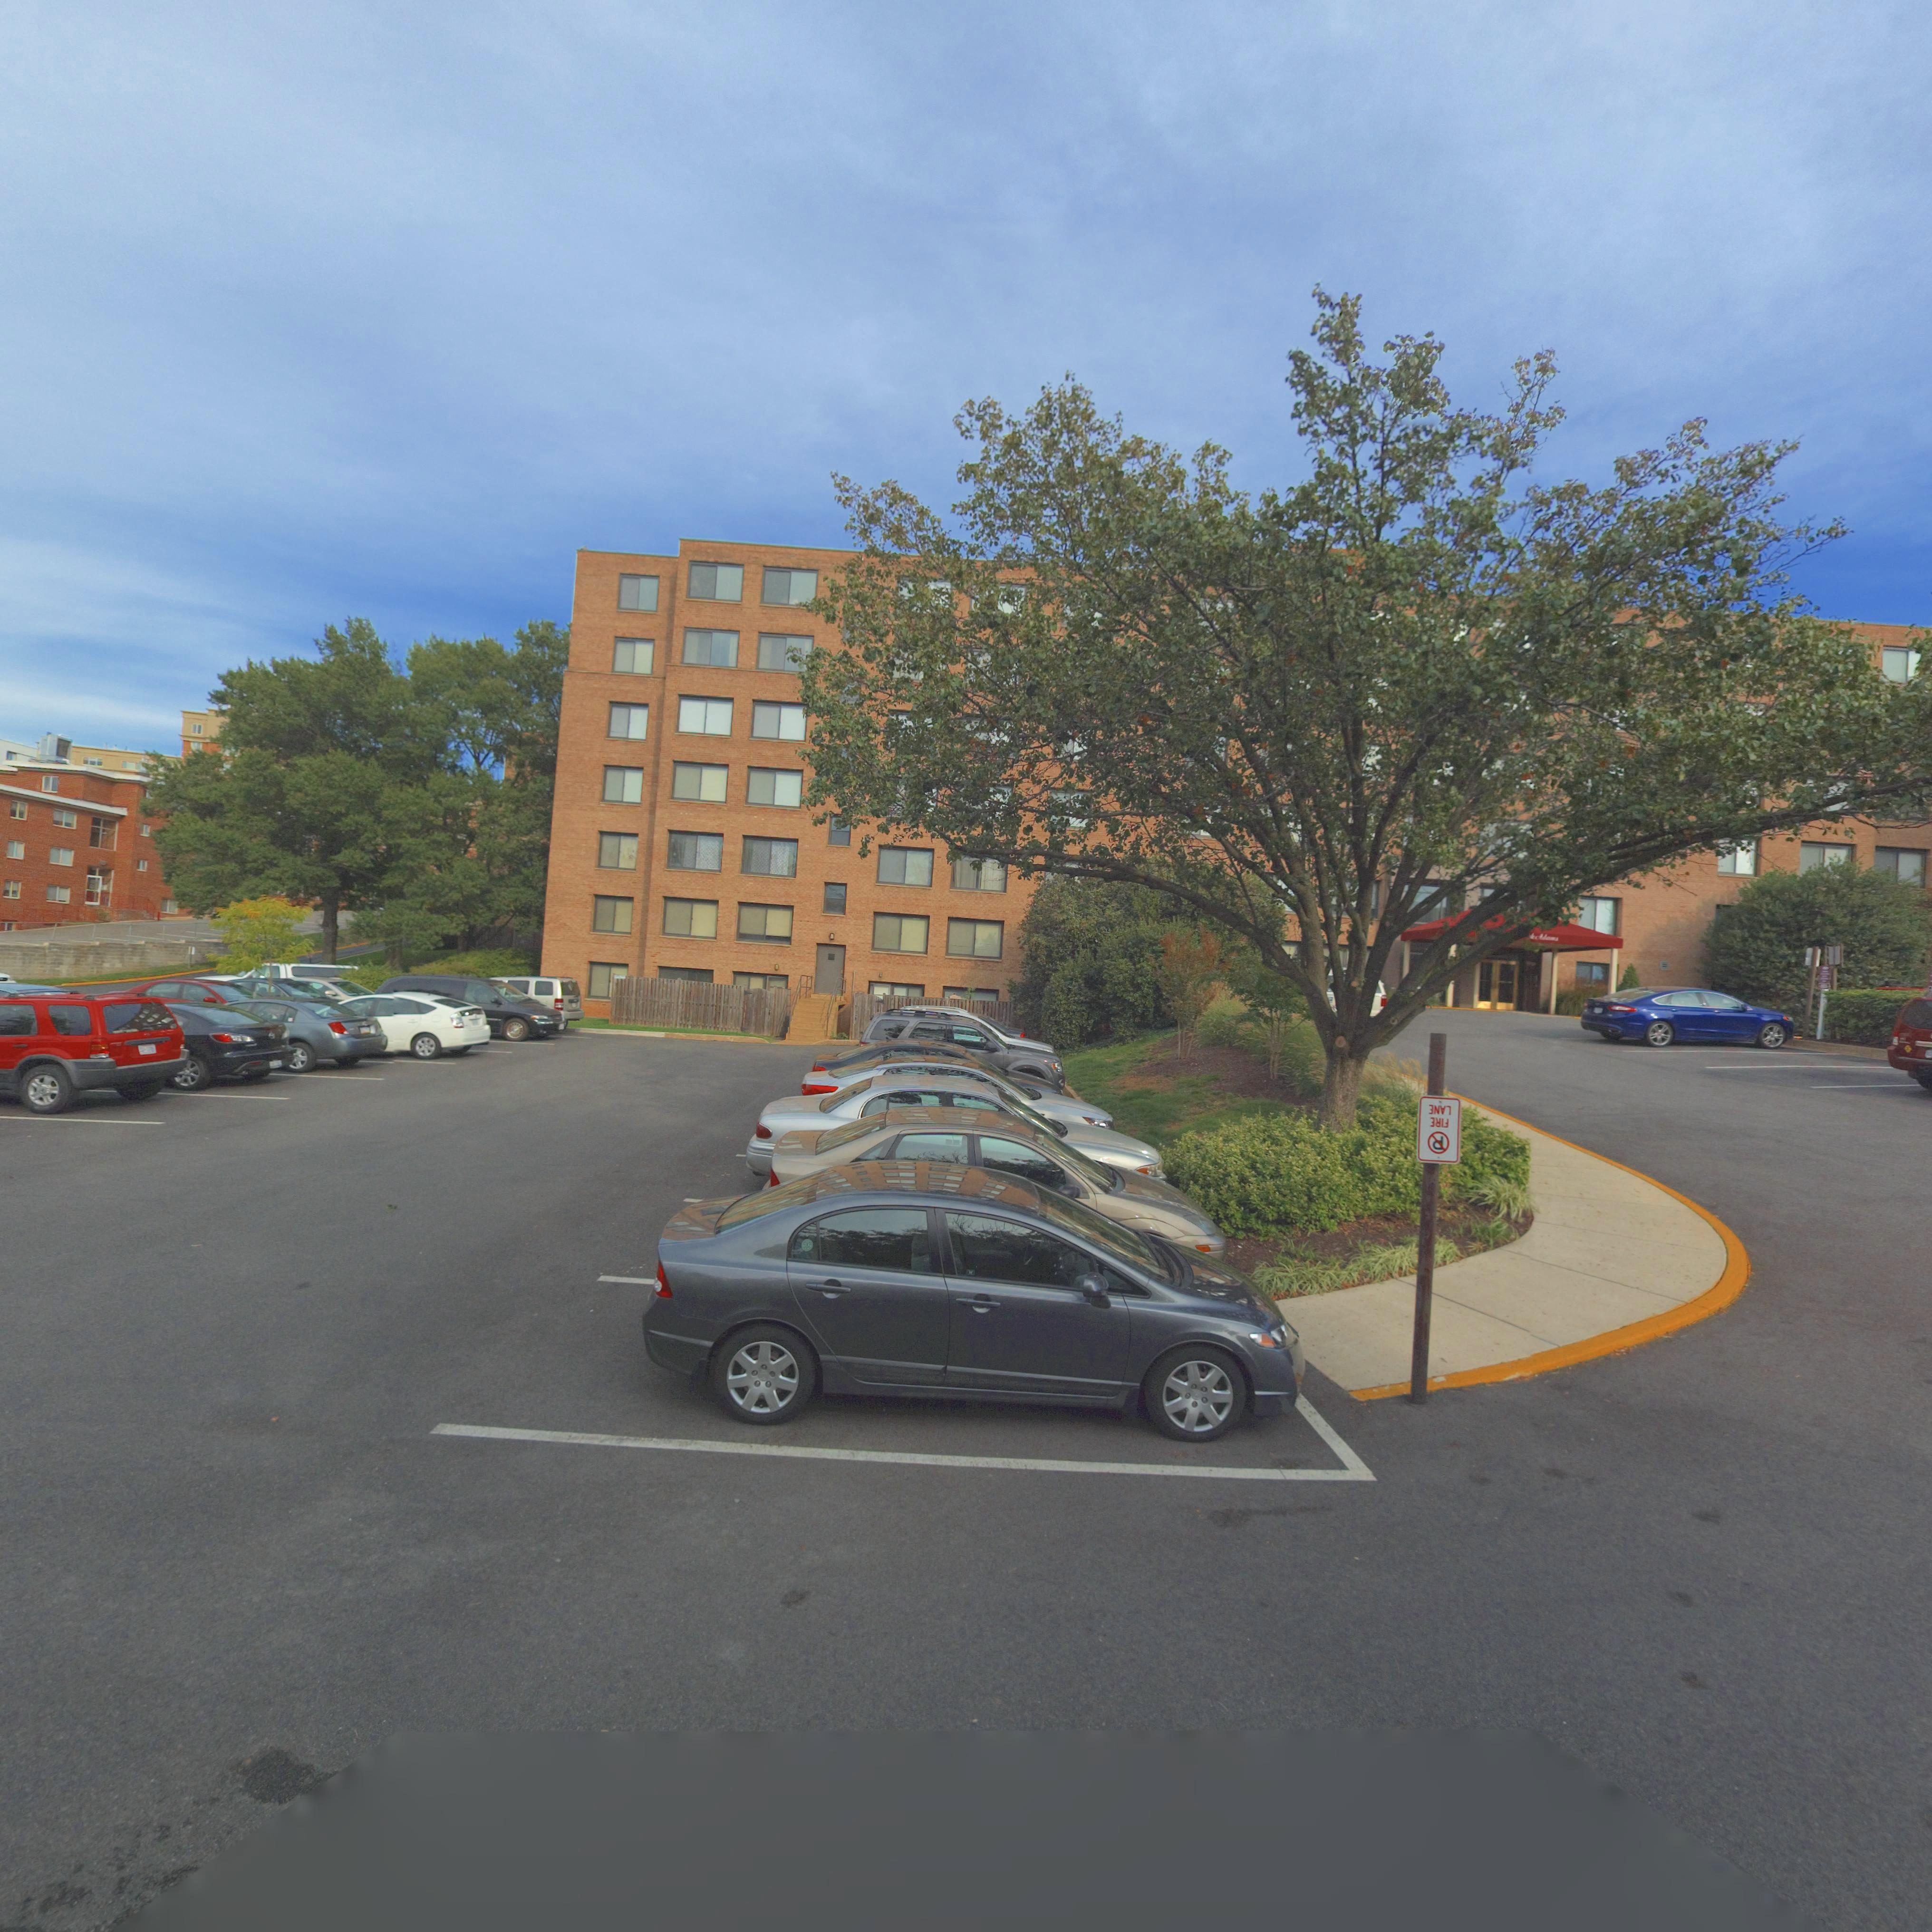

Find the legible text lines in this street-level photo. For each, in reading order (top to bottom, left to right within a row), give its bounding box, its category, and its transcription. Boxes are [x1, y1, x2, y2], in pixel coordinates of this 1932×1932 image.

[1428, 1104, 1452, 1115] None: *N**
[1430, 1117, 1449, 1128] None: **I*